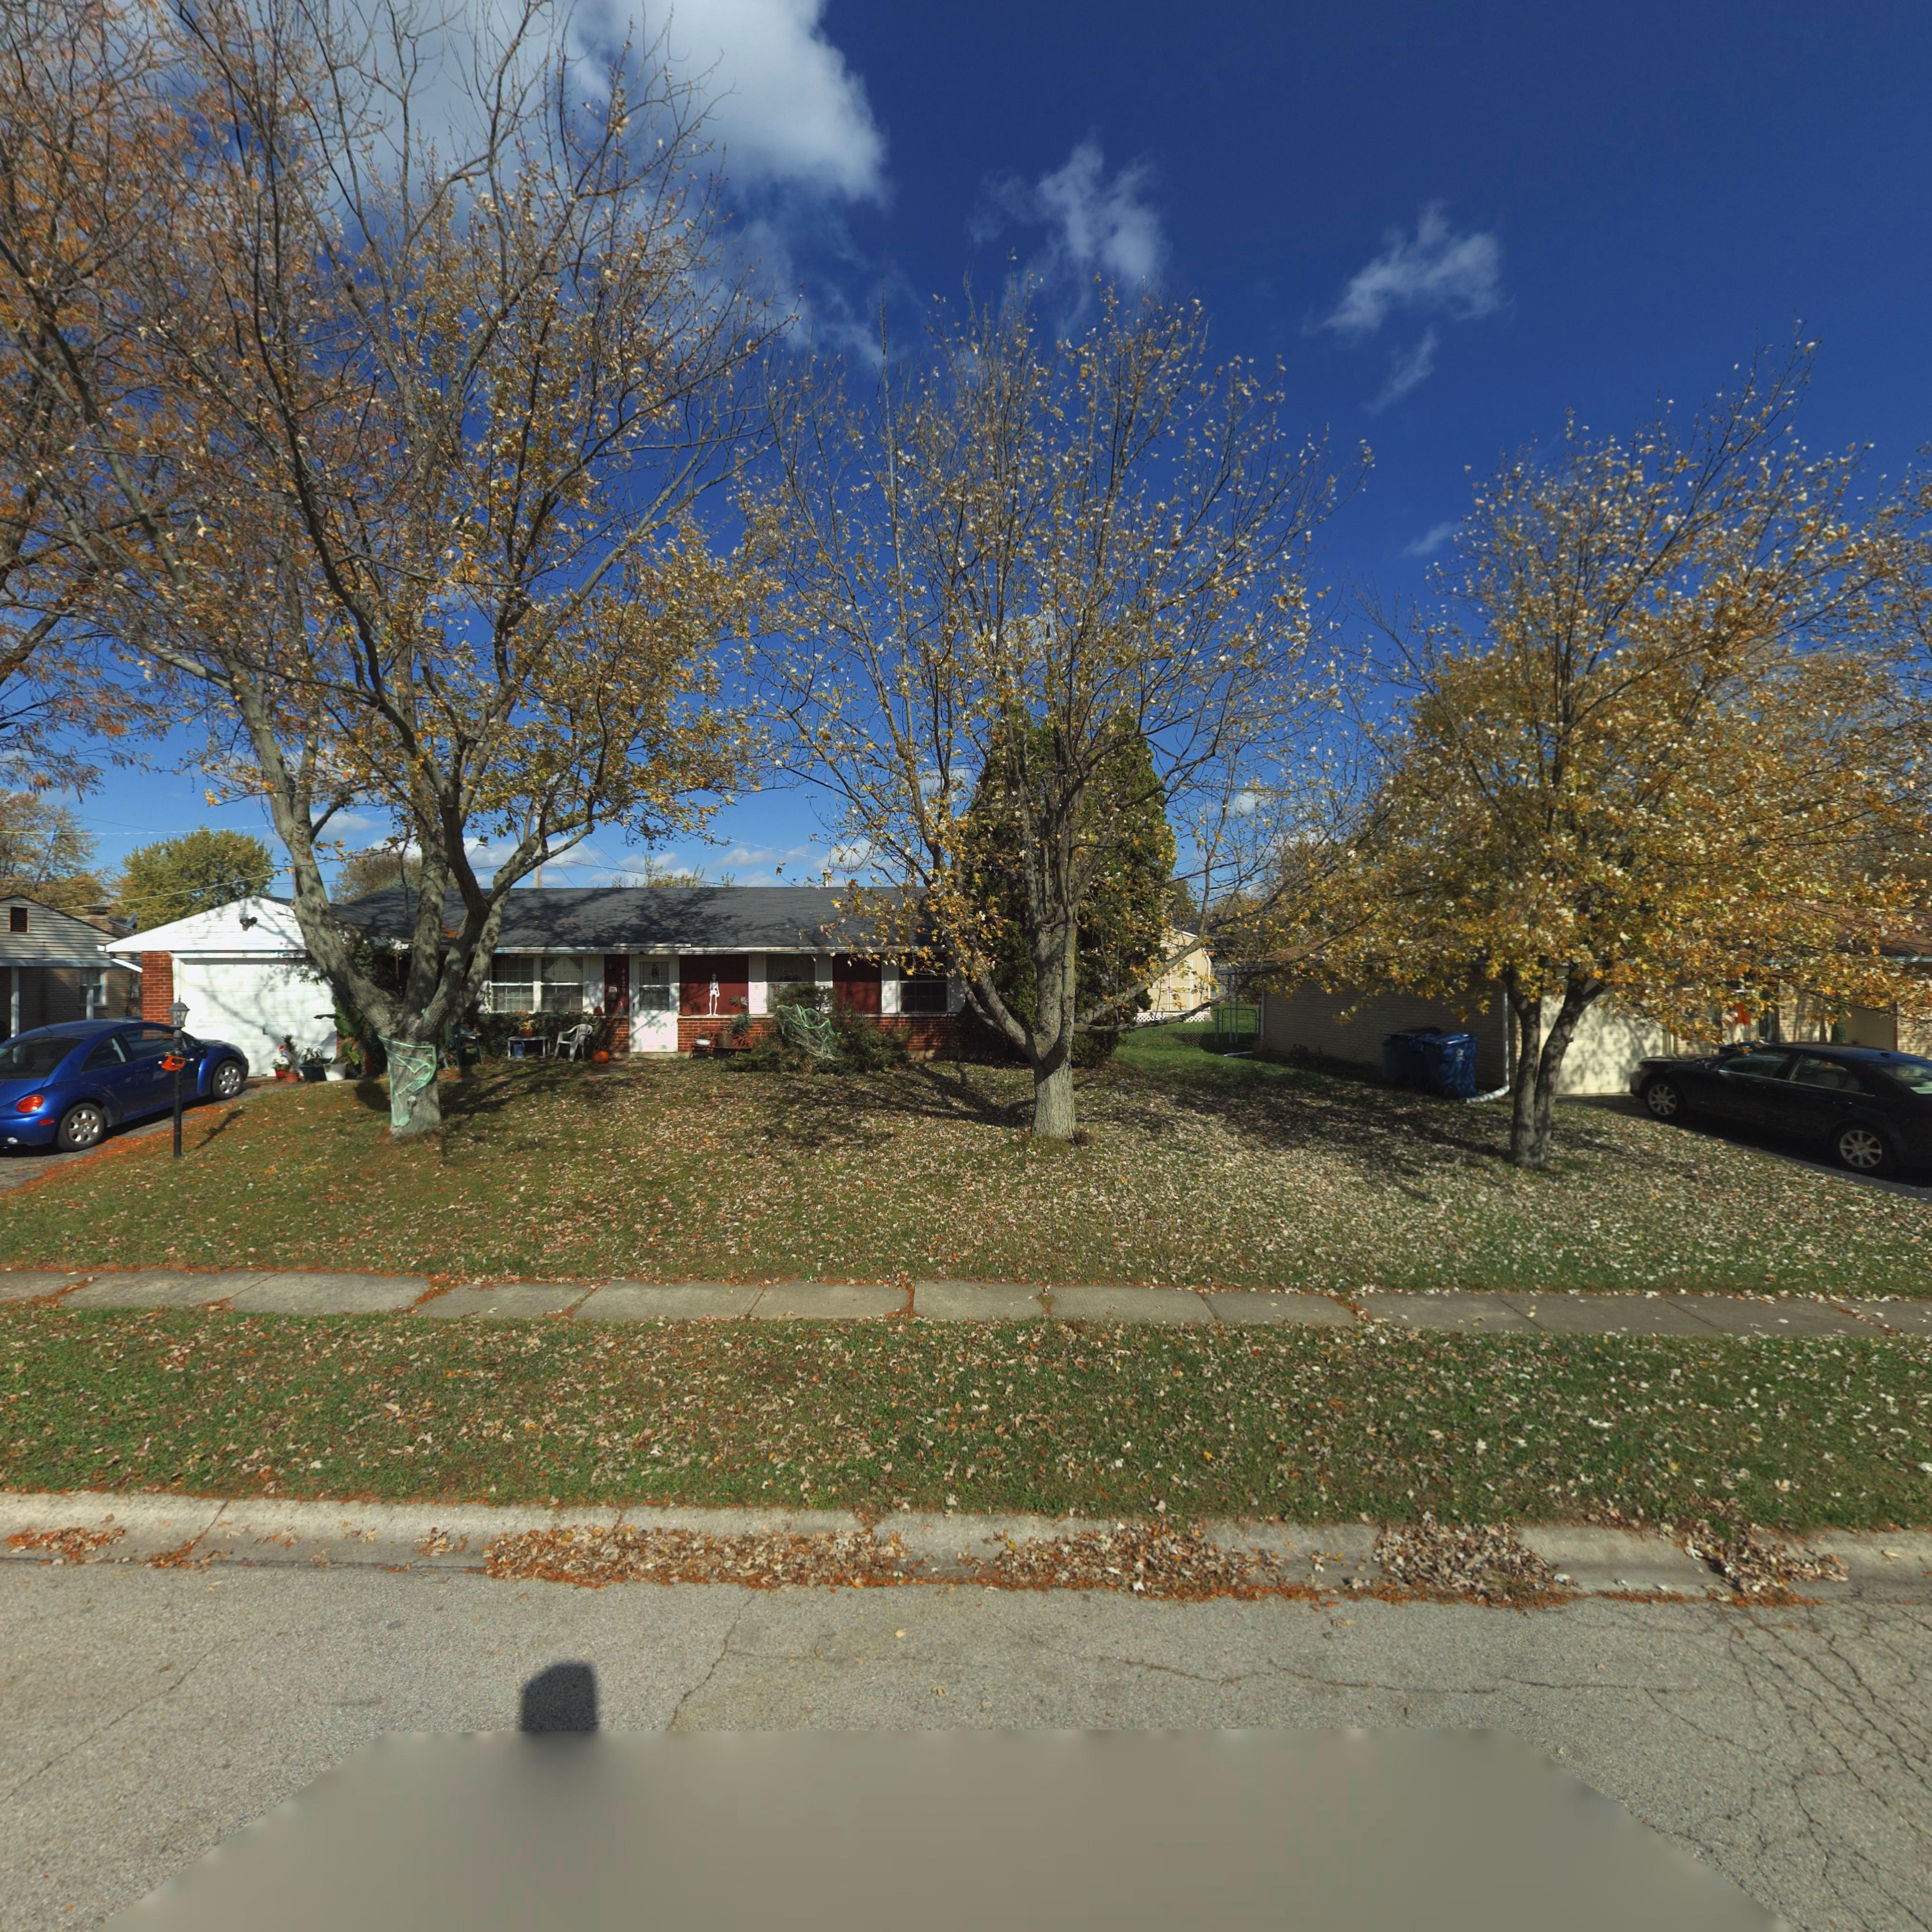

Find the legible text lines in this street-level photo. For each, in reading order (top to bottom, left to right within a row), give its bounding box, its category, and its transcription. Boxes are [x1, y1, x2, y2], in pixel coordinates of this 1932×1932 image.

[621, 967, 626, 995] StreetNumber: 6629